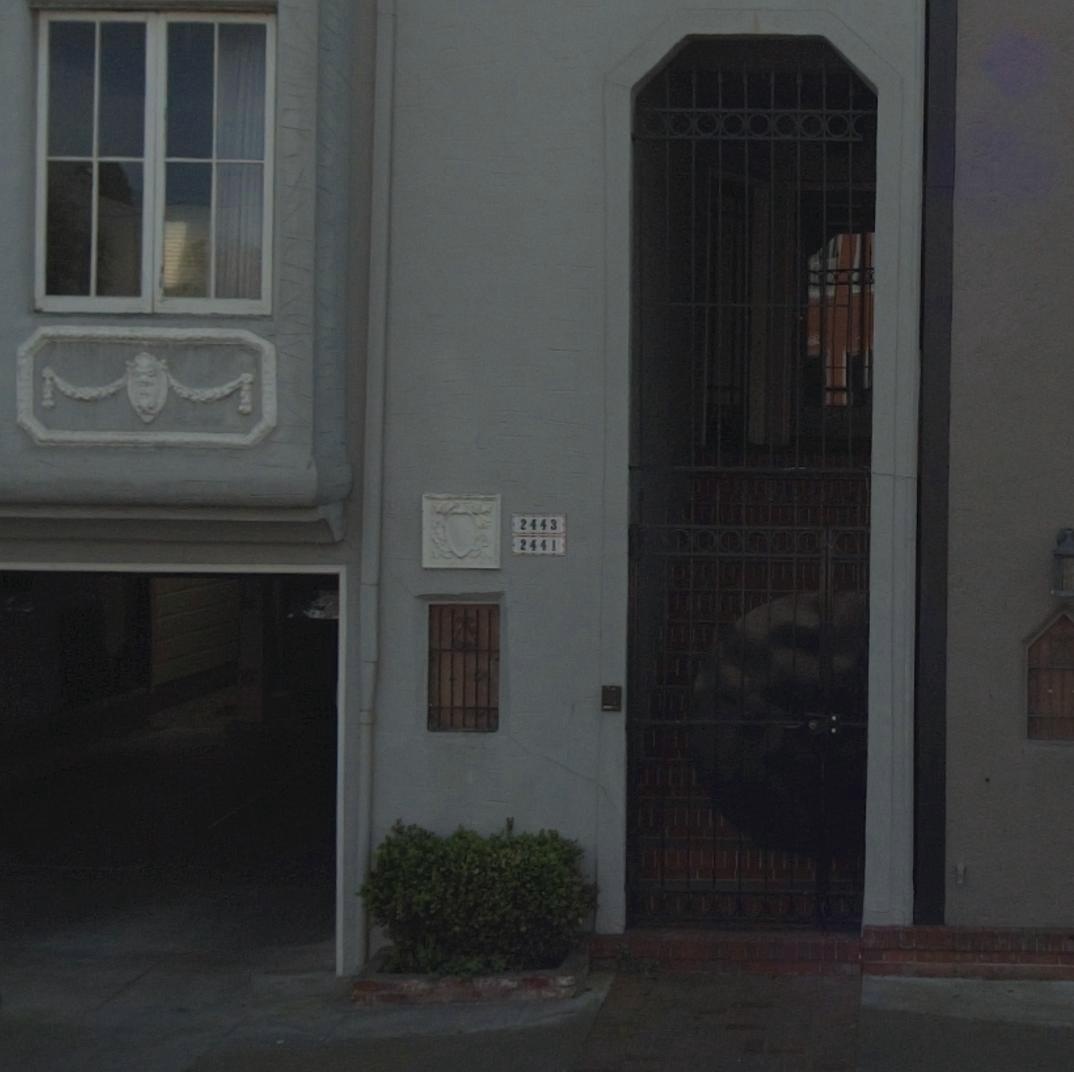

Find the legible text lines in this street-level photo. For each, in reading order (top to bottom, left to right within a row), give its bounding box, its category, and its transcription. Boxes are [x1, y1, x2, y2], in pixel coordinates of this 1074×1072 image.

[518, 516, 559, 533] StreetNumber: 2443
[518, 537, 558, 553] StreetNumber: 2441